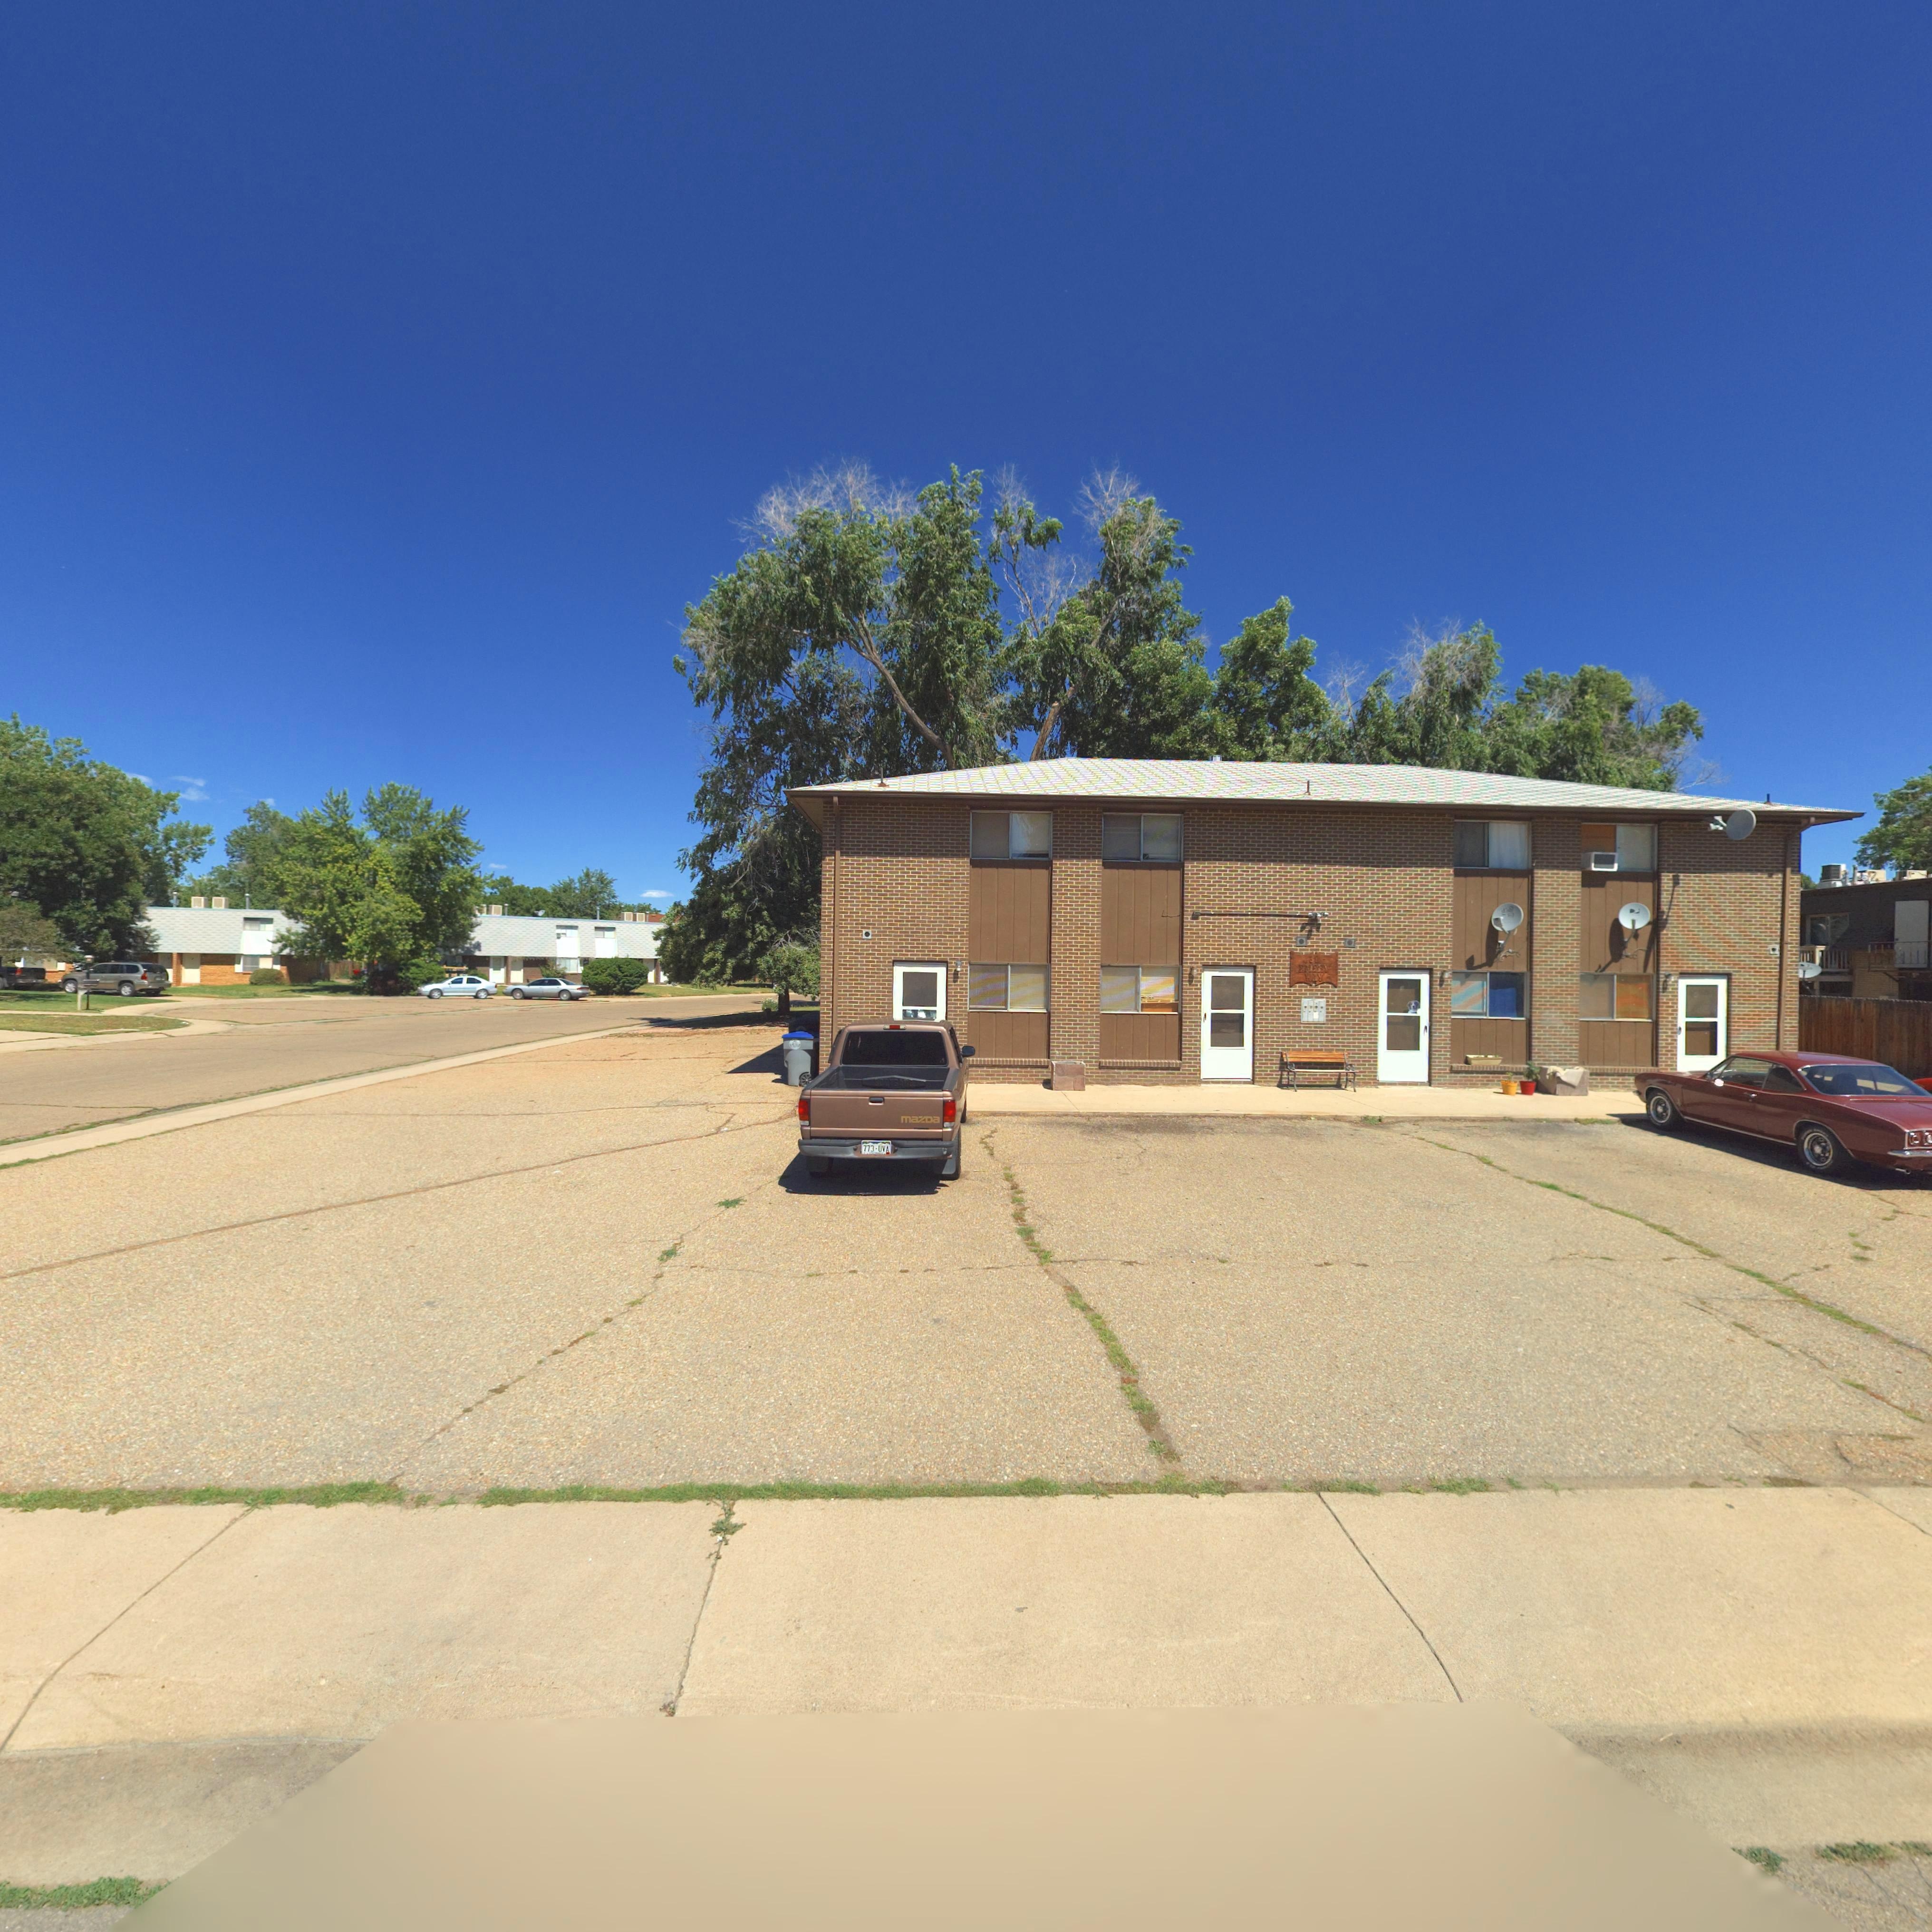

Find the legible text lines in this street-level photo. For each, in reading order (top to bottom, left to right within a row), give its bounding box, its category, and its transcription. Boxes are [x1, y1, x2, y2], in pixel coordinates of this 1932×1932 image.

[1308, 955, 1326, 963] StreetNumber: 3**
[1298, 963, 1329, 973] StreetName: EMERY
[1304, 973, 1325, 982] StreetName: WAY